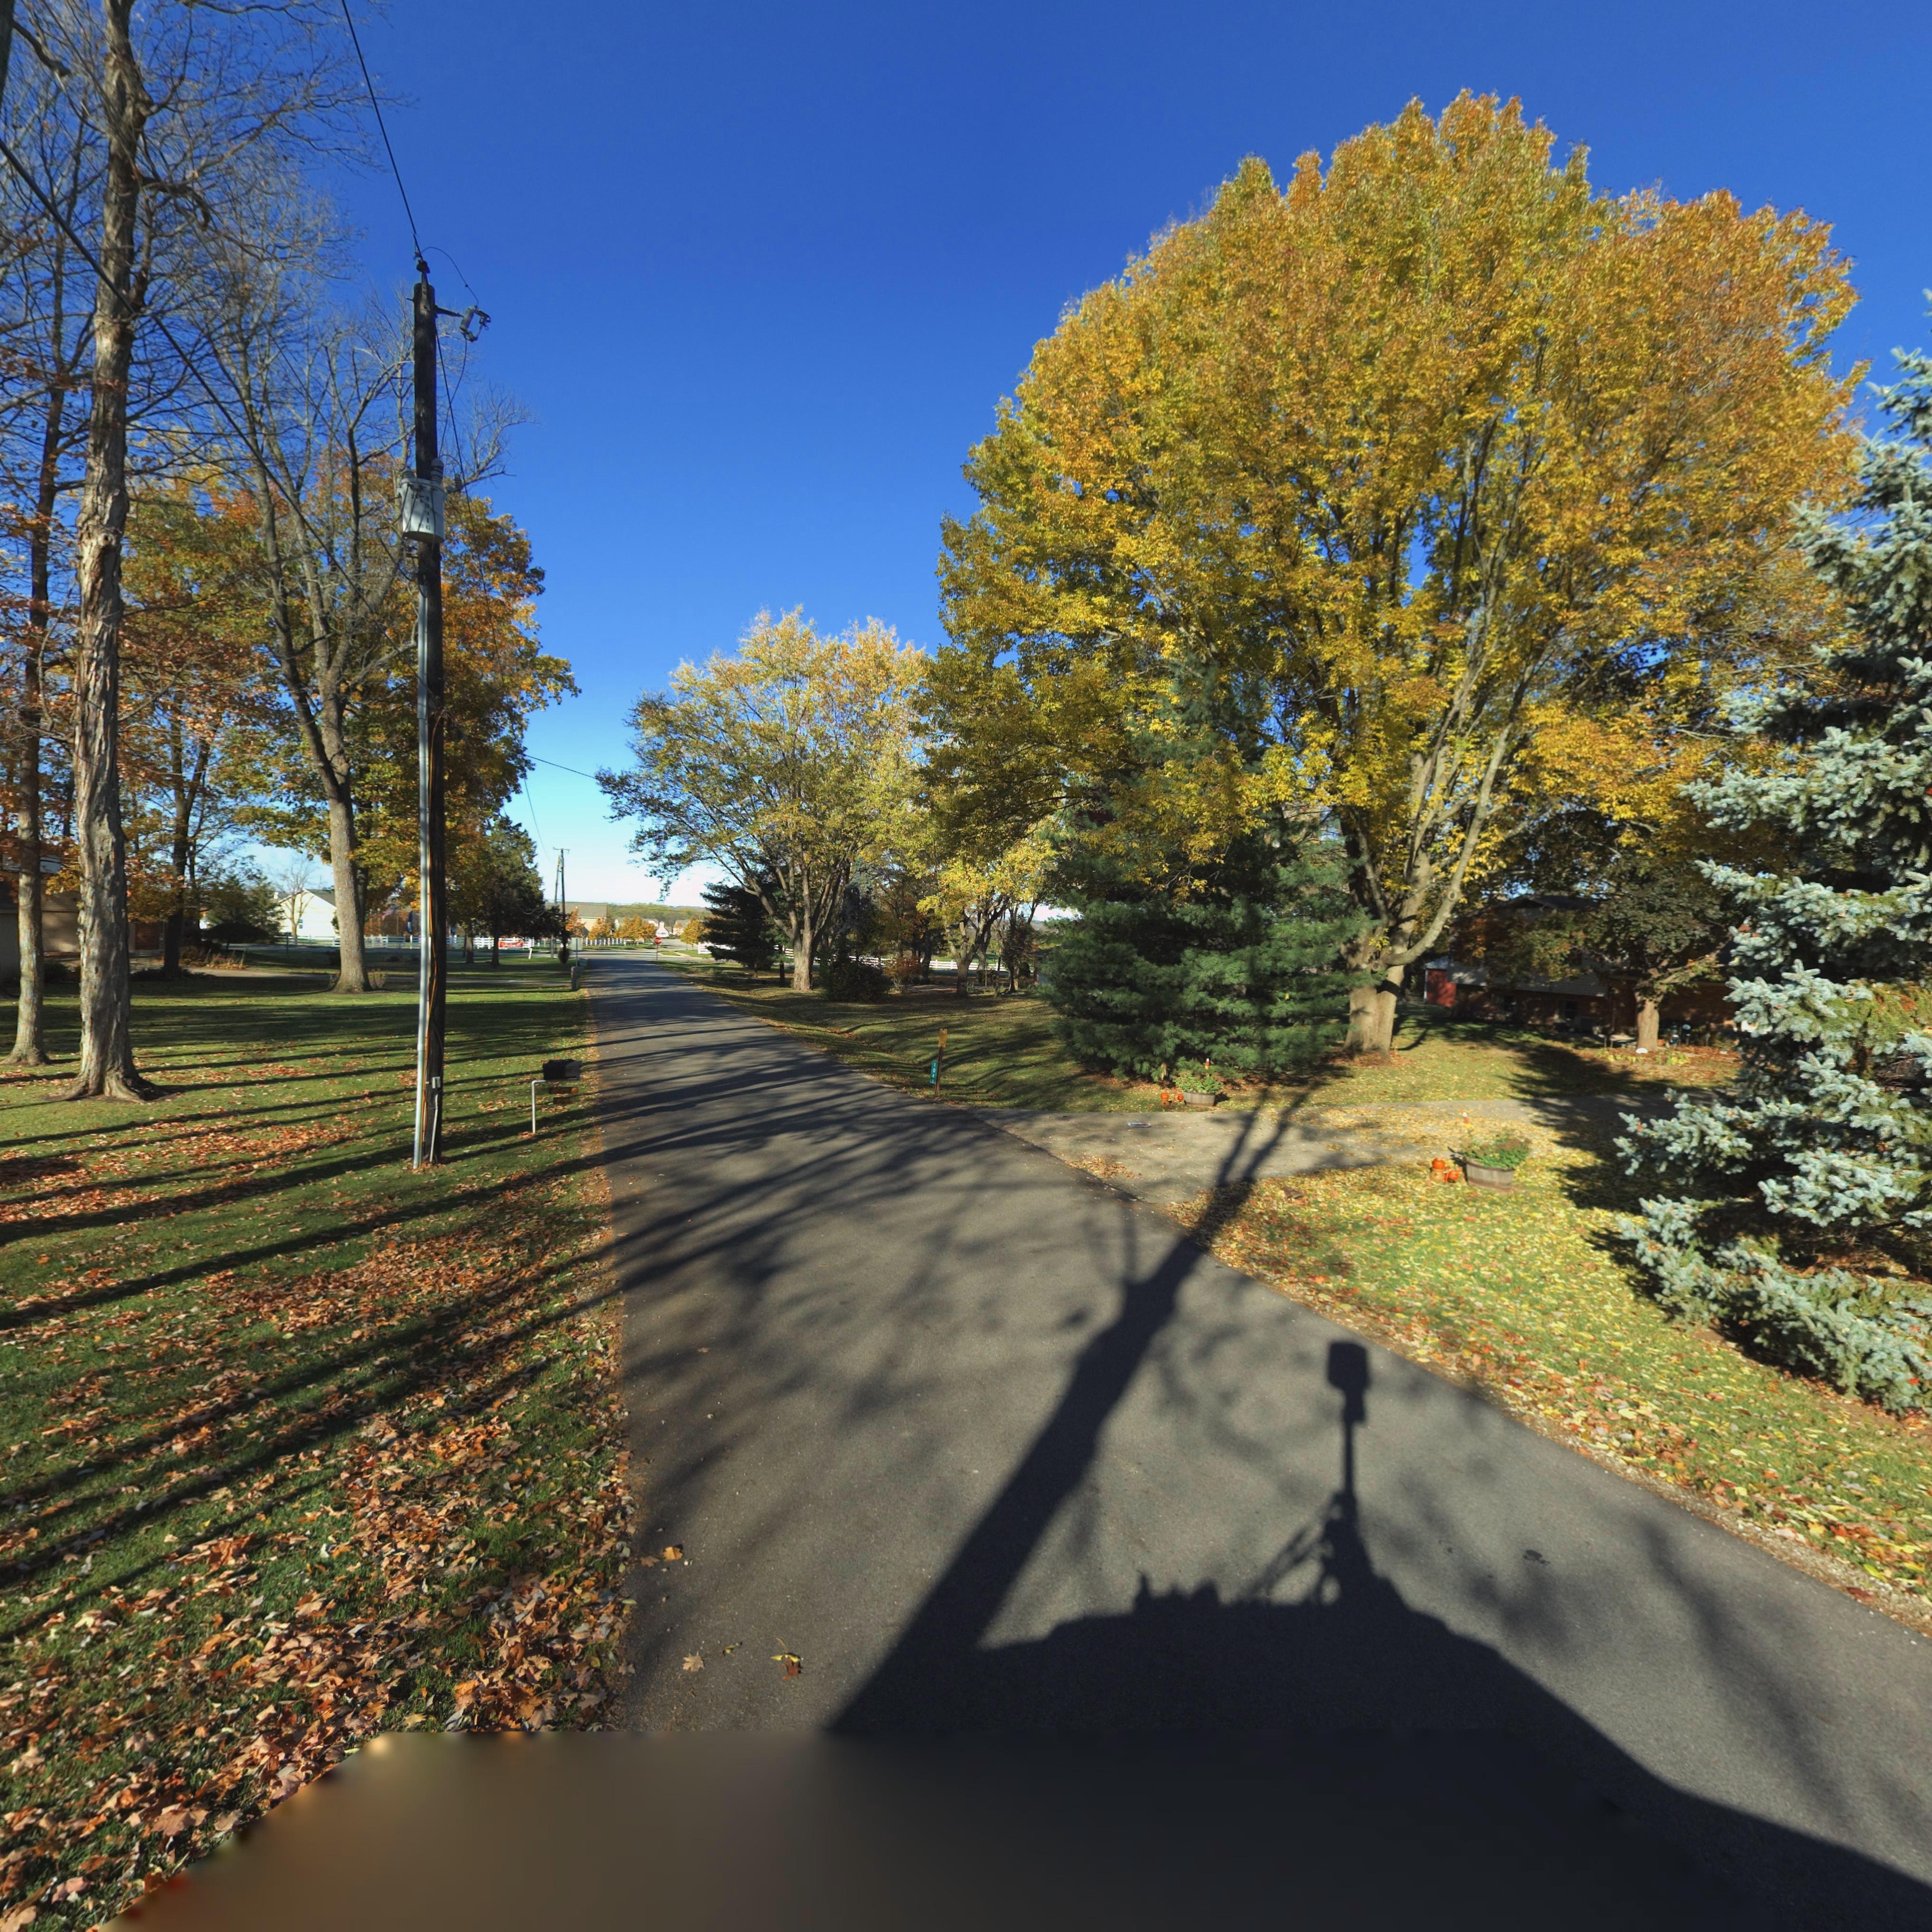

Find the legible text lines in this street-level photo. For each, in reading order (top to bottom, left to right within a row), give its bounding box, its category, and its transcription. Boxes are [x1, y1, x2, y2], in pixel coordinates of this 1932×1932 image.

[931, 1062, 937, 1084] StreetNumber: 1041